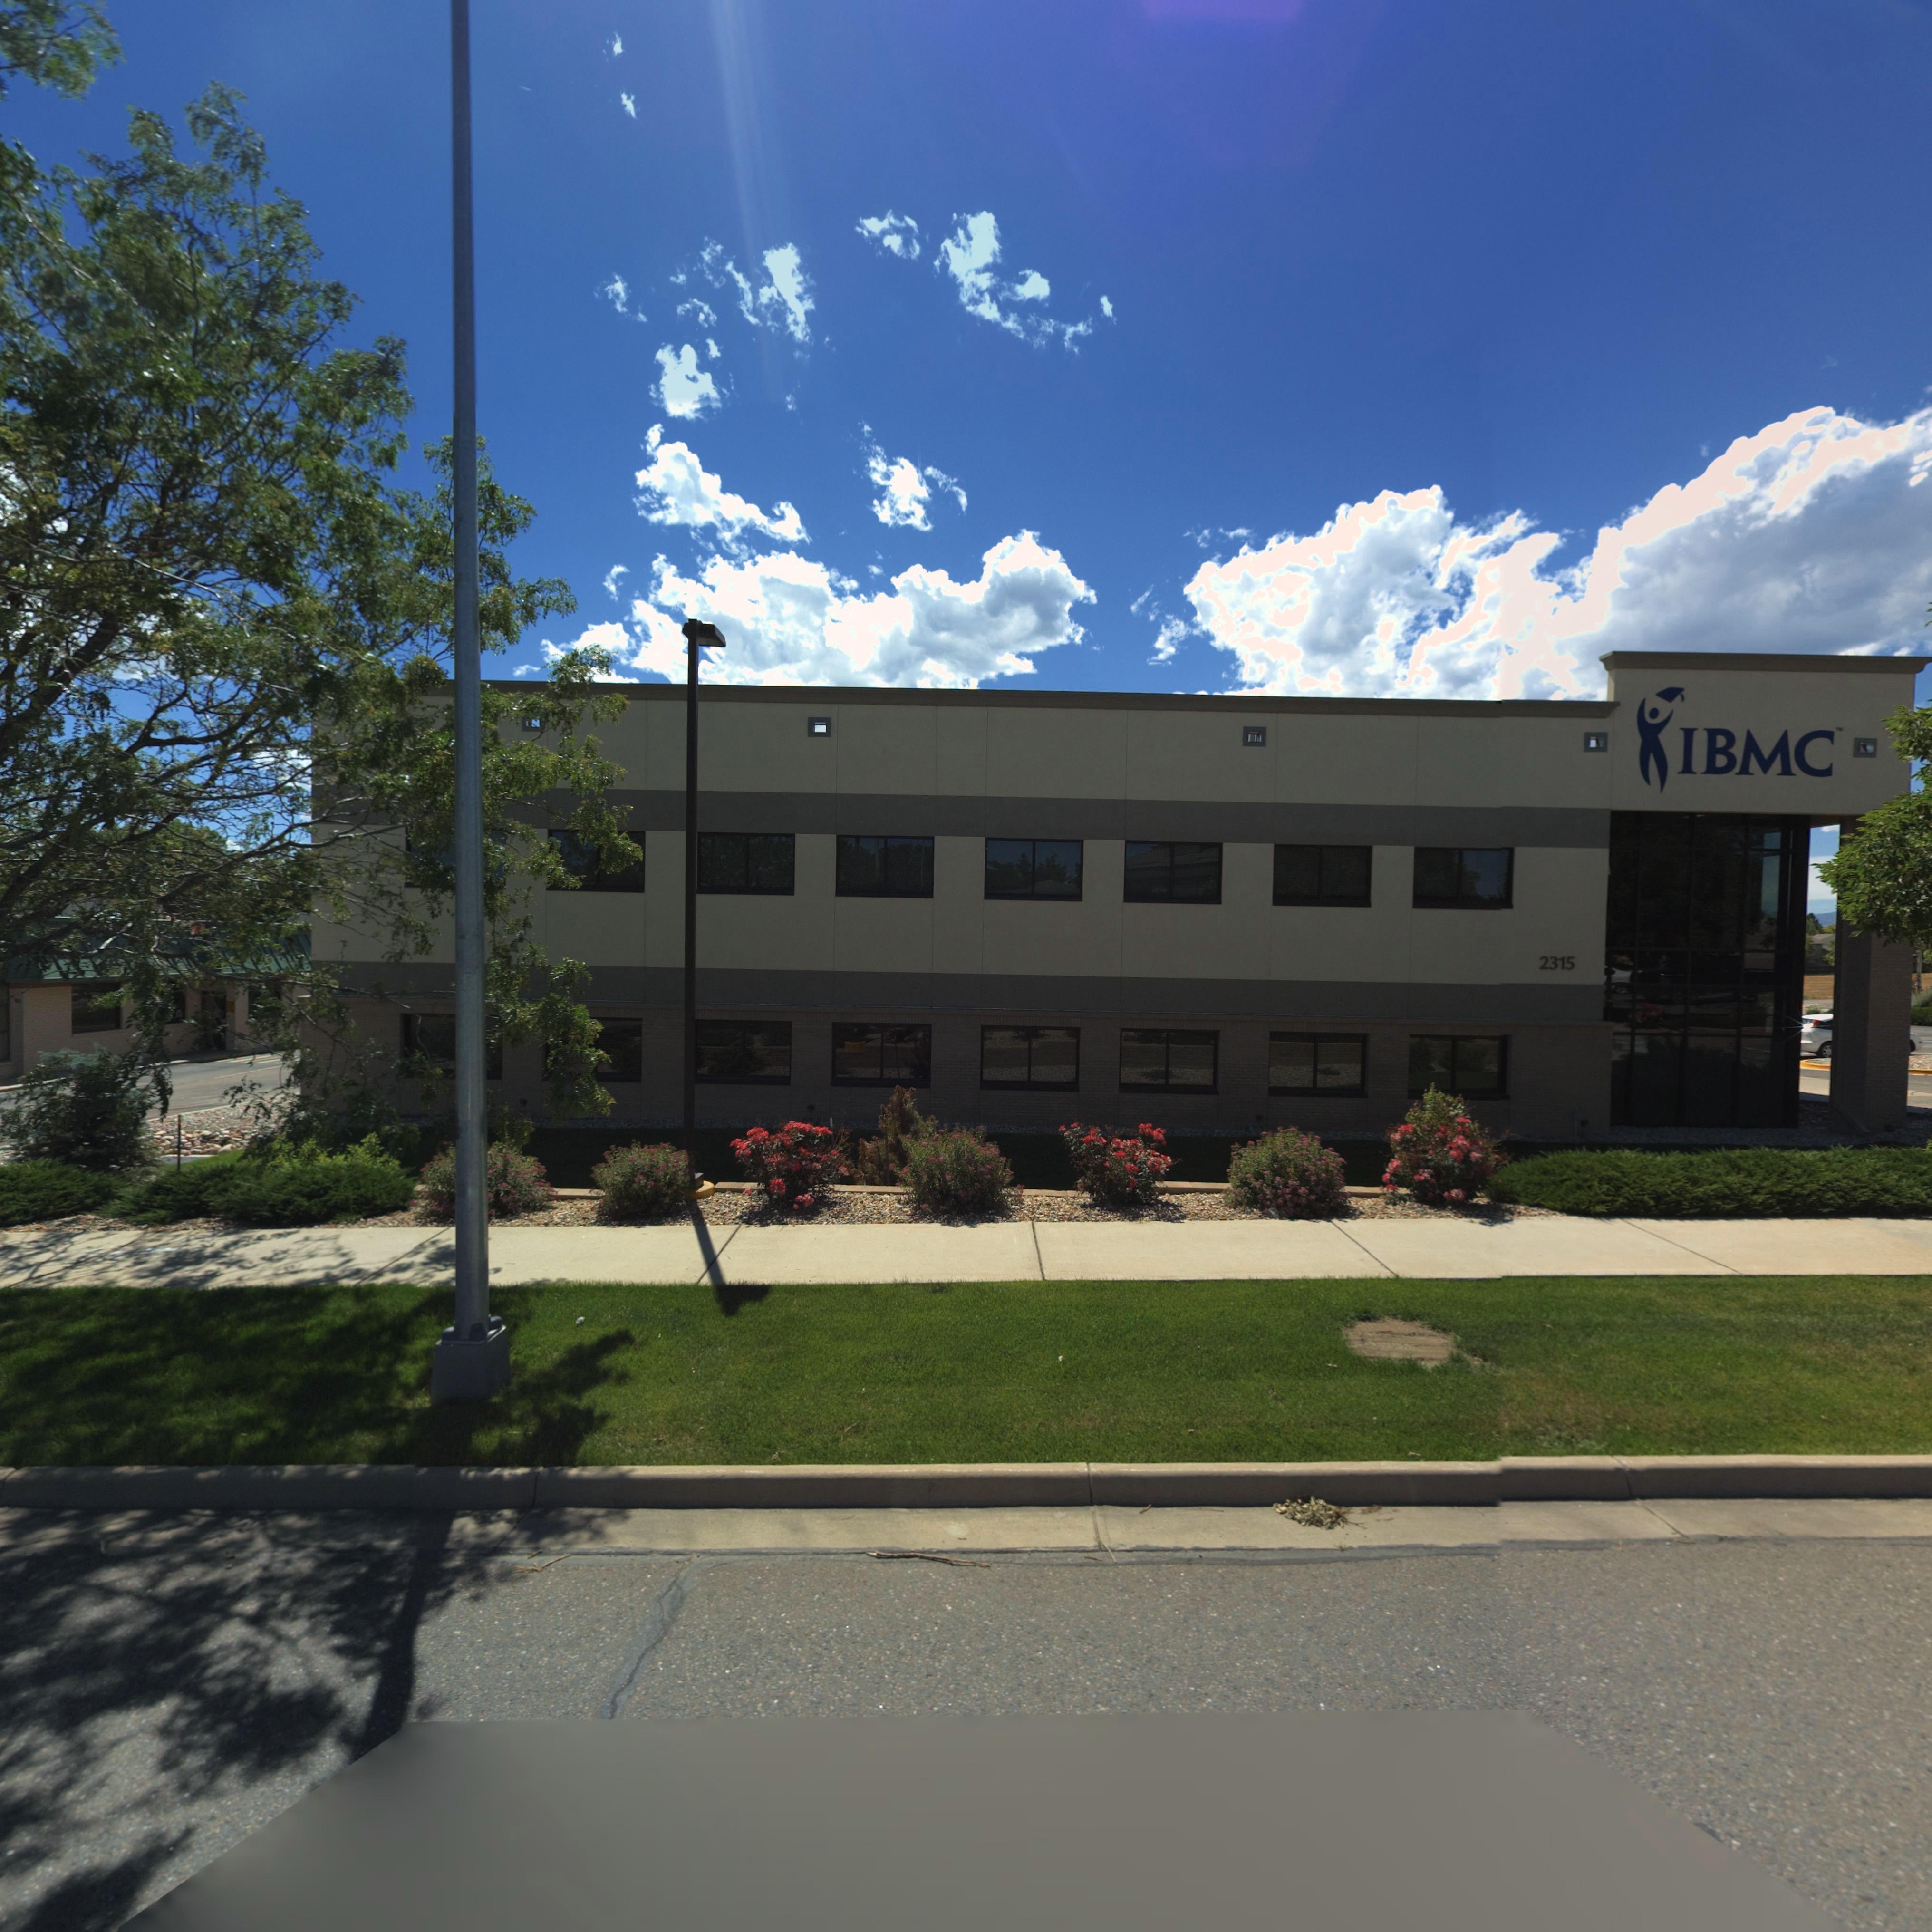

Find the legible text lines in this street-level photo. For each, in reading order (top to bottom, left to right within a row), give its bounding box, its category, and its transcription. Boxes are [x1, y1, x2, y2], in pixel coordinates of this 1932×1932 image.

[1677, 726, 1835, 777] BusinessName: IBMC
[1539, 956, 1575, 970] StreetNumber: 2315